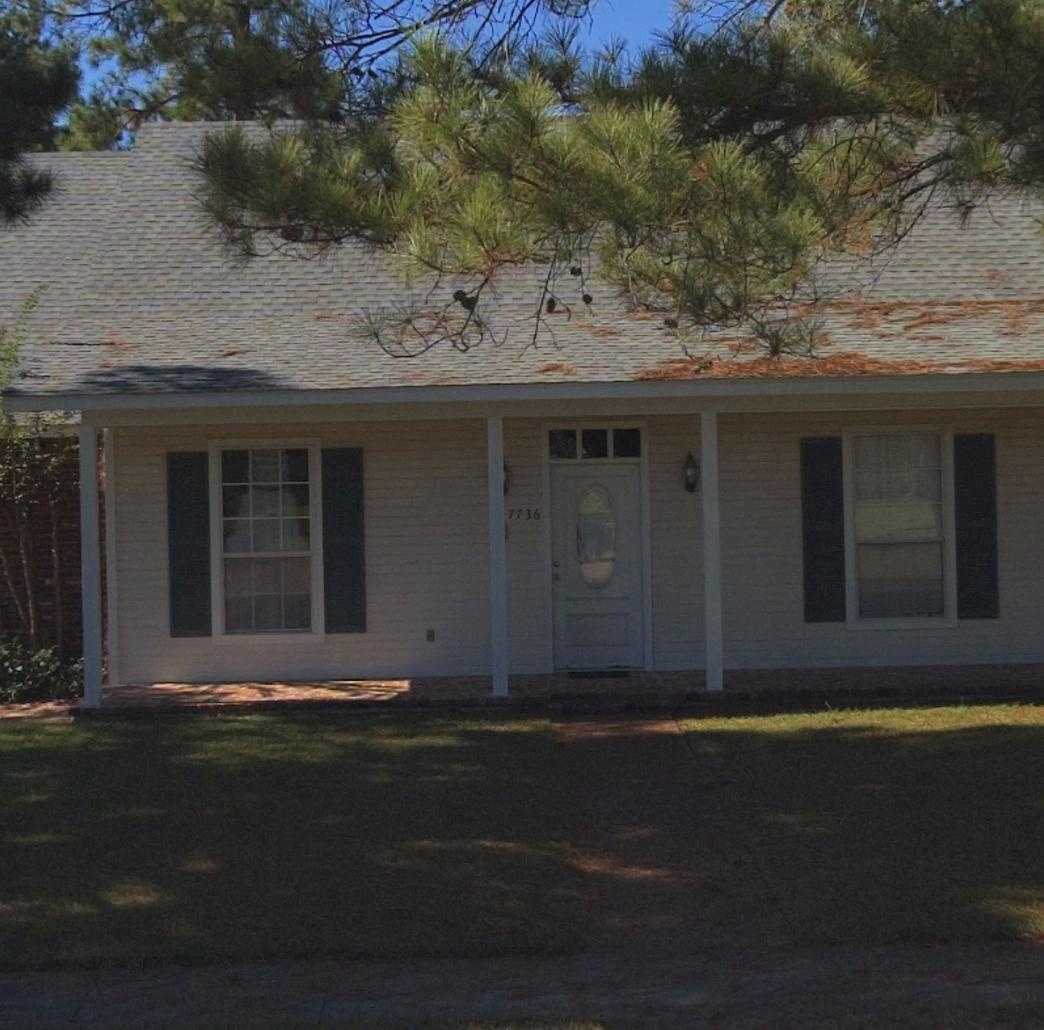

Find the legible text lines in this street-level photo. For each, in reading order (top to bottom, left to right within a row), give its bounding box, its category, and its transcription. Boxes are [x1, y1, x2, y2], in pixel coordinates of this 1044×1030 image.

[507, 508, 541, 520] StreetNumber: 7736